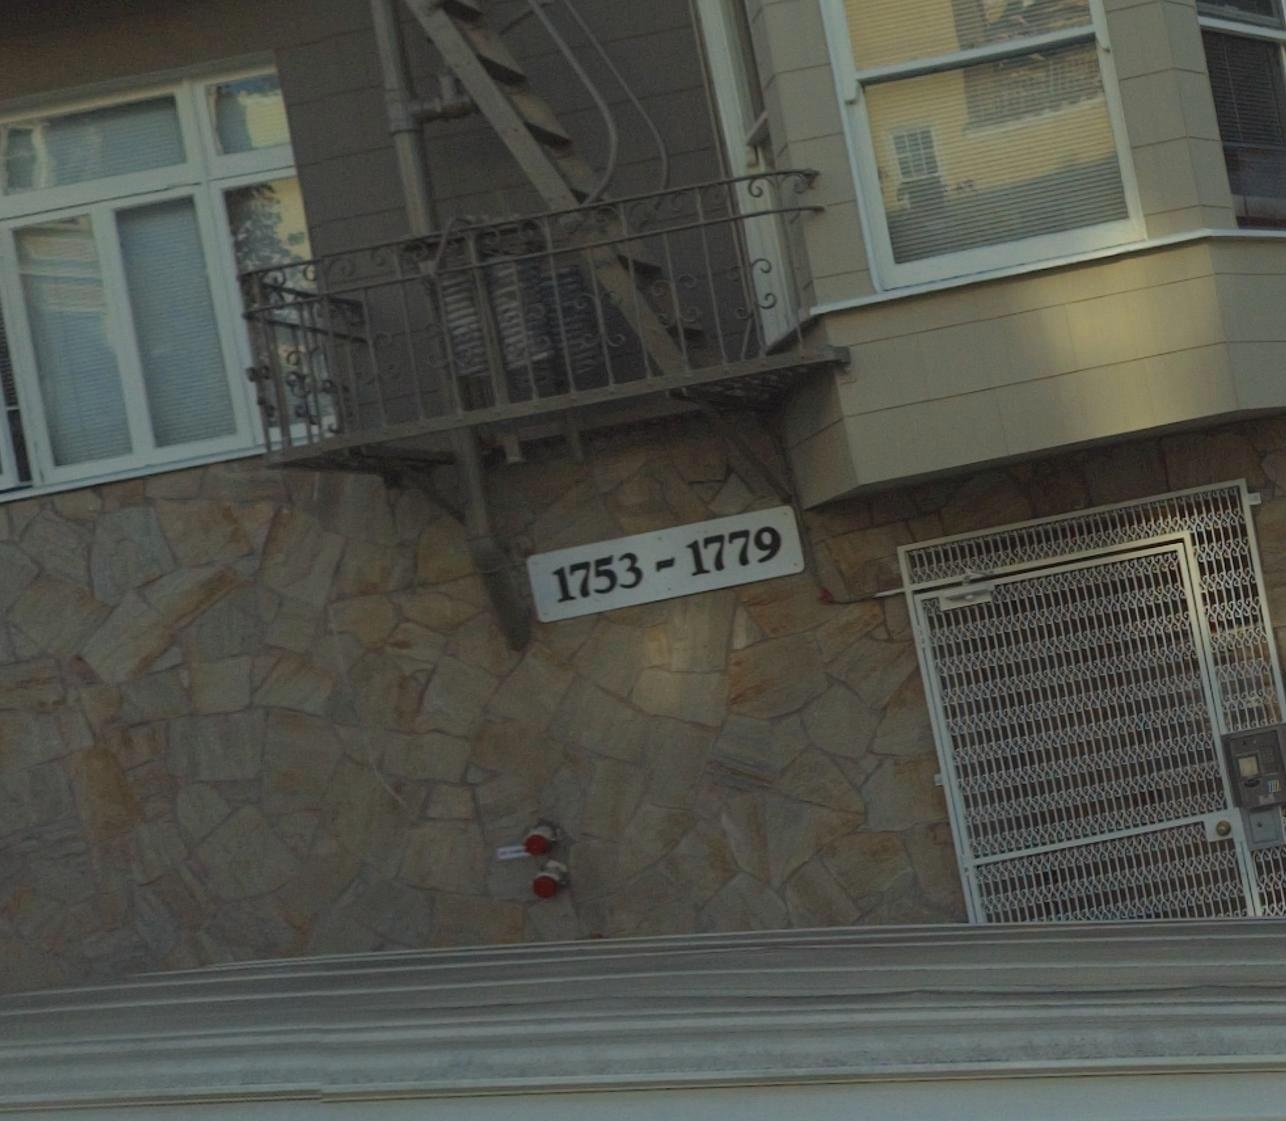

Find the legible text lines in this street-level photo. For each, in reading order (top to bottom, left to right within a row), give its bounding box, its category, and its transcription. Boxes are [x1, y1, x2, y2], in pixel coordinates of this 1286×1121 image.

[548, 517, 789, 609] StreetNumber: 1753-1779